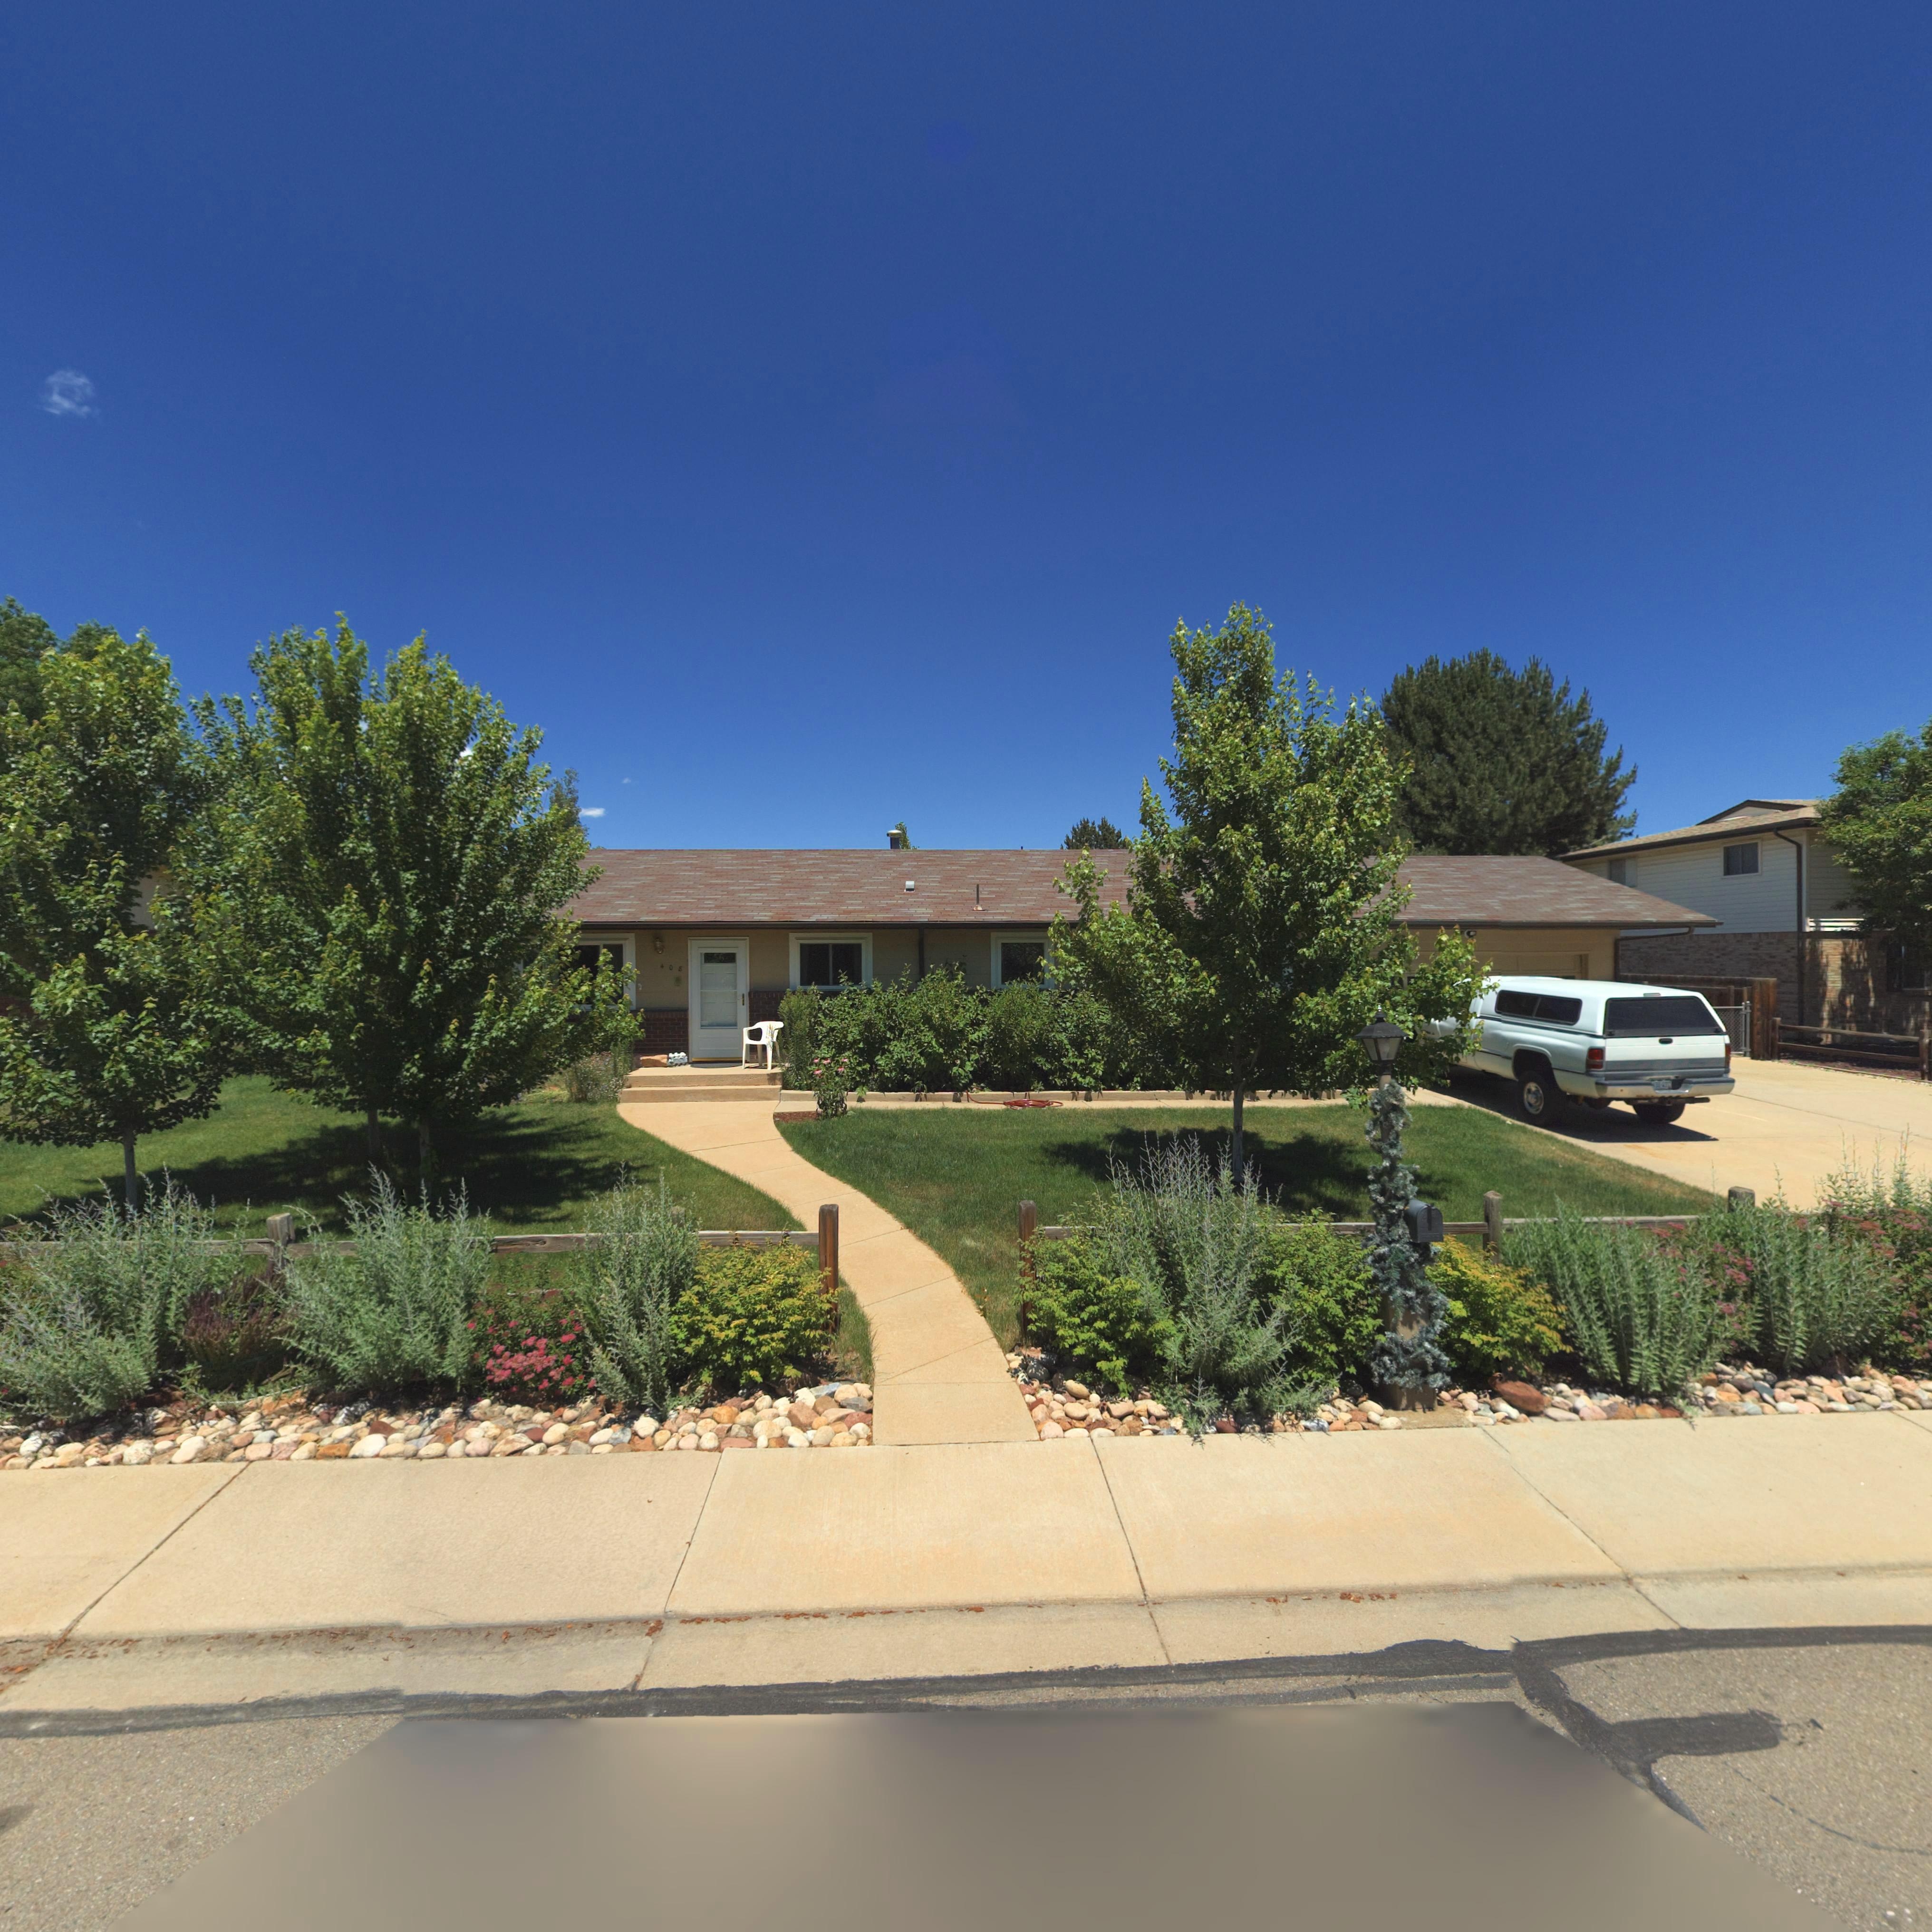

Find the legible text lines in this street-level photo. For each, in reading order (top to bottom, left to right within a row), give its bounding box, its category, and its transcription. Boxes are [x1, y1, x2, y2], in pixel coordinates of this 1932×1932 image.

[658, 962, 683, 972] StreetNumber: 408